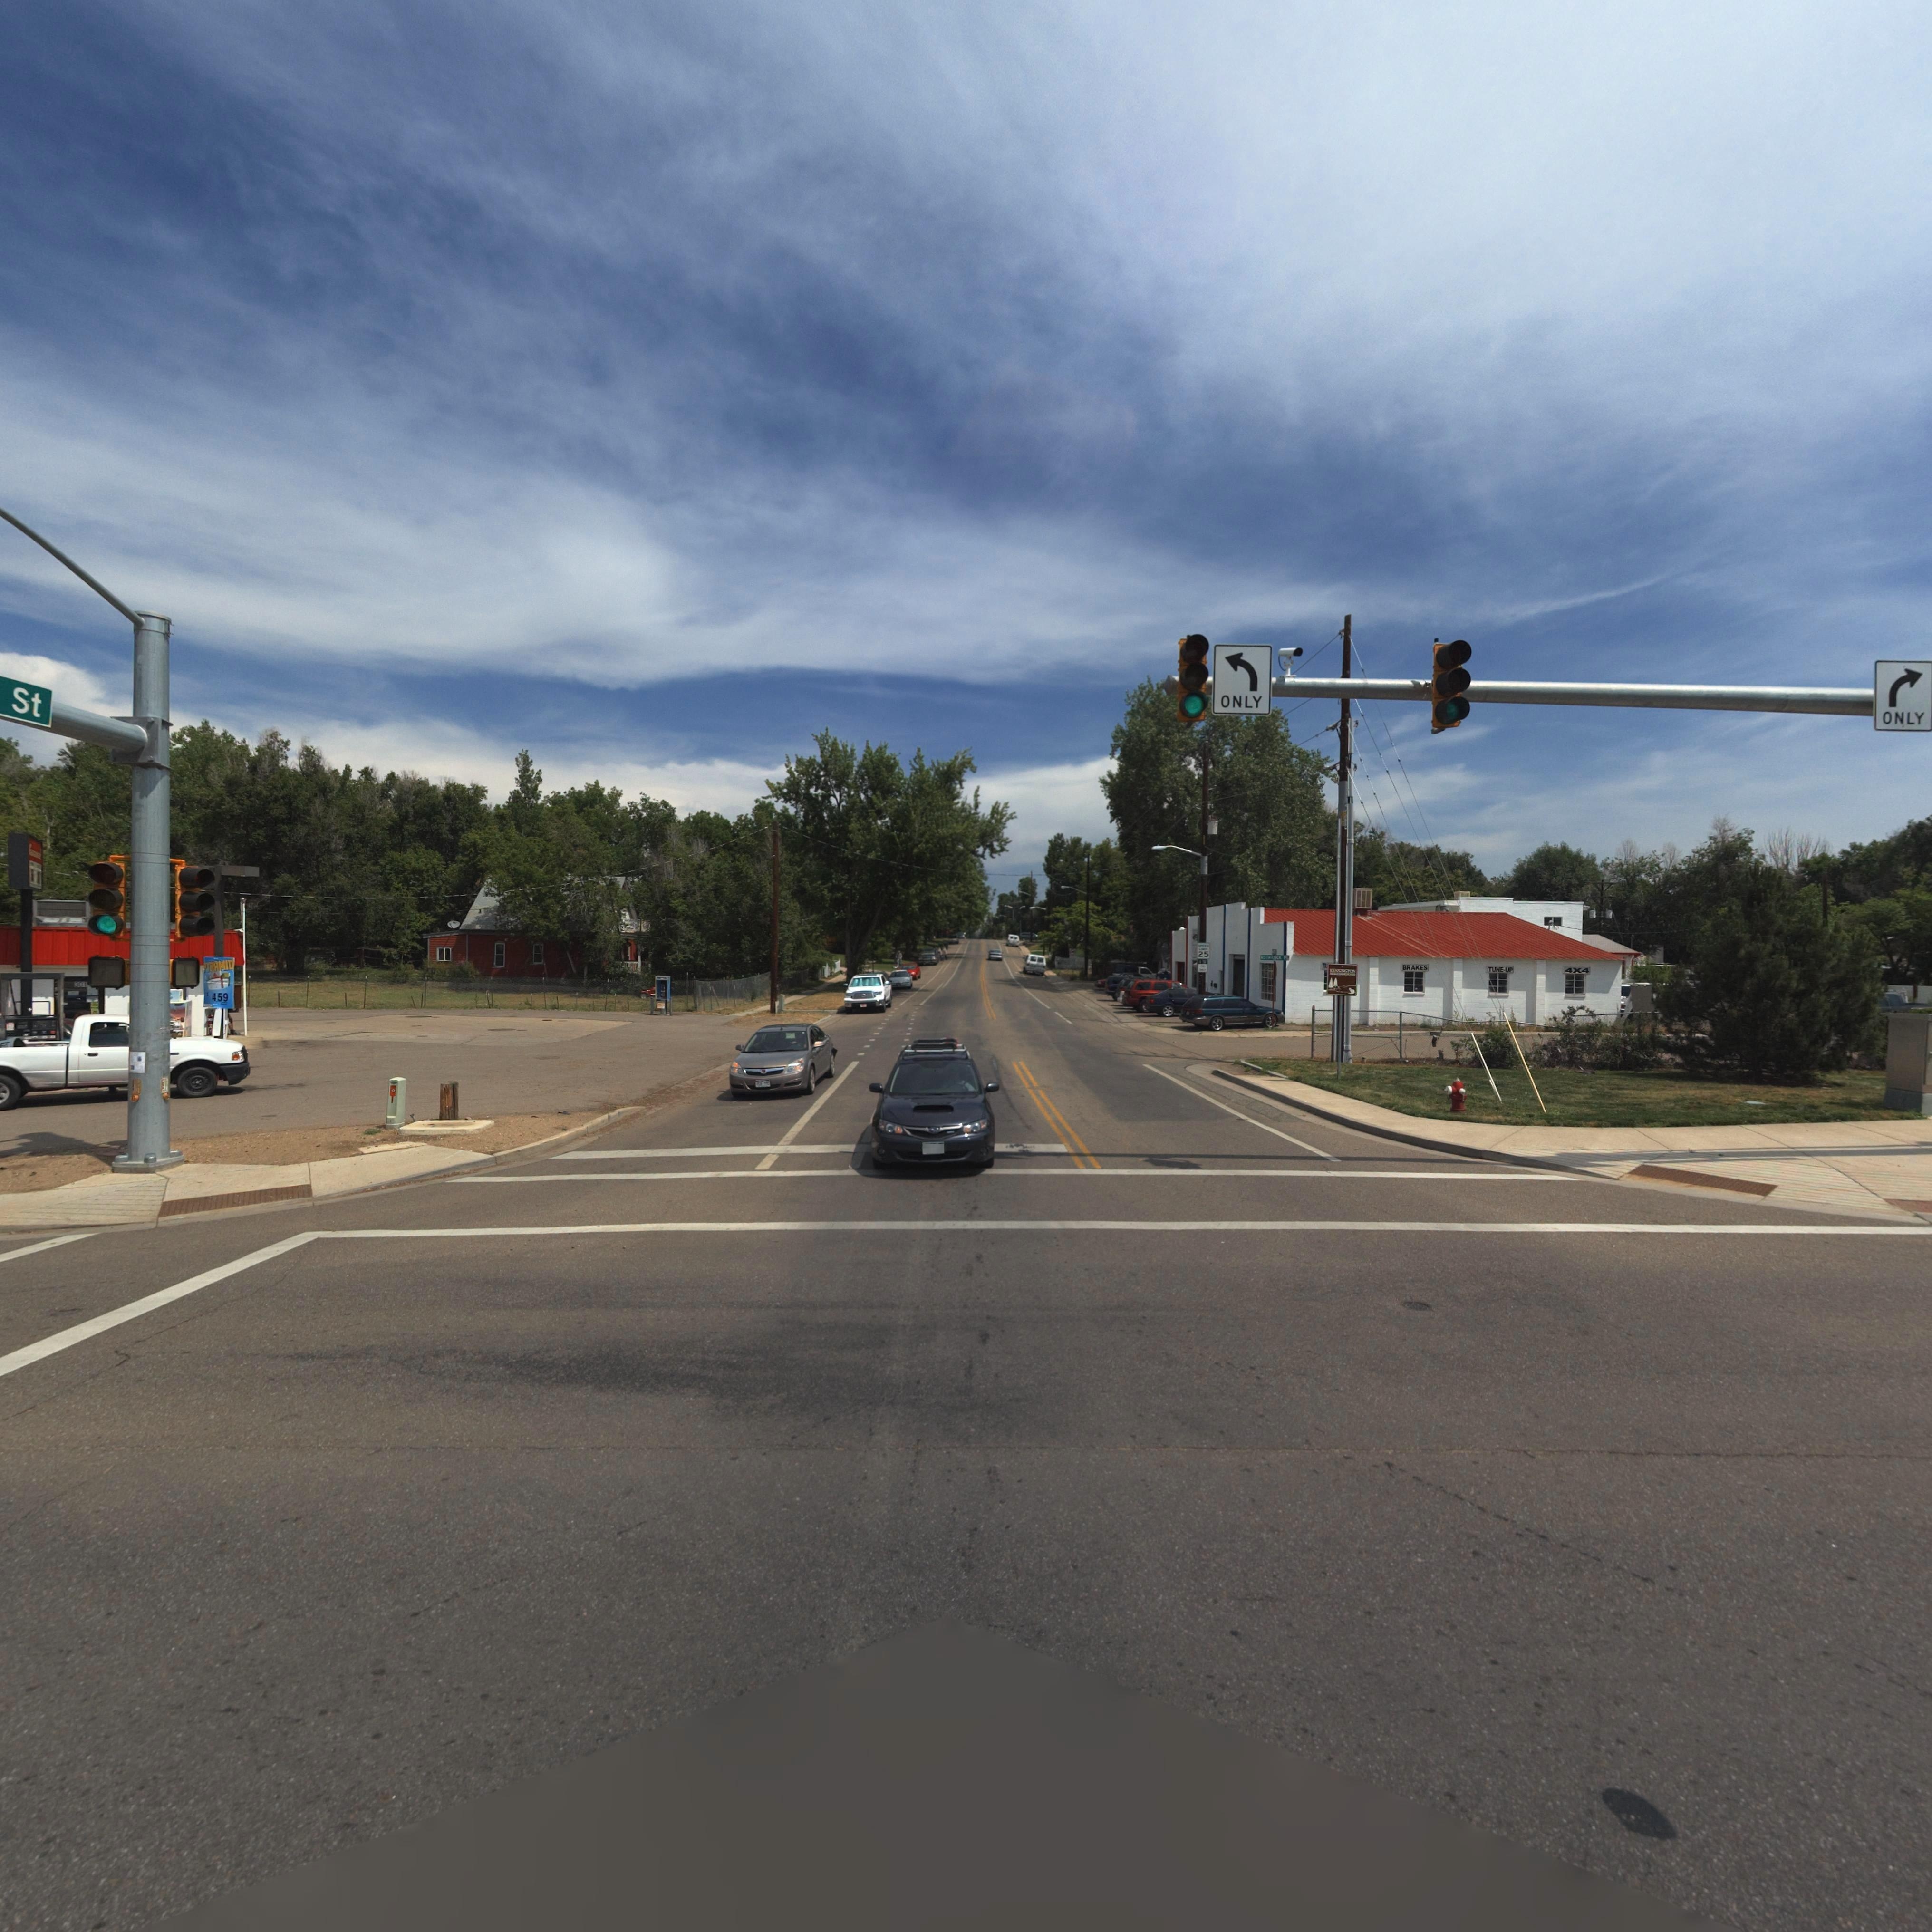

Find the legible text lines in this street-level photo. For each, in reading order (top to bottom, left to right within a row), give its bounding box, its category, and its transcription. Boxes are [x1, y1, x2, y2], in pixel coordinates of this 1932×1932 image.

[11, 685, 43, 719] StreetName: St*
[74, 981, 87, 987] StreetNumber: 301